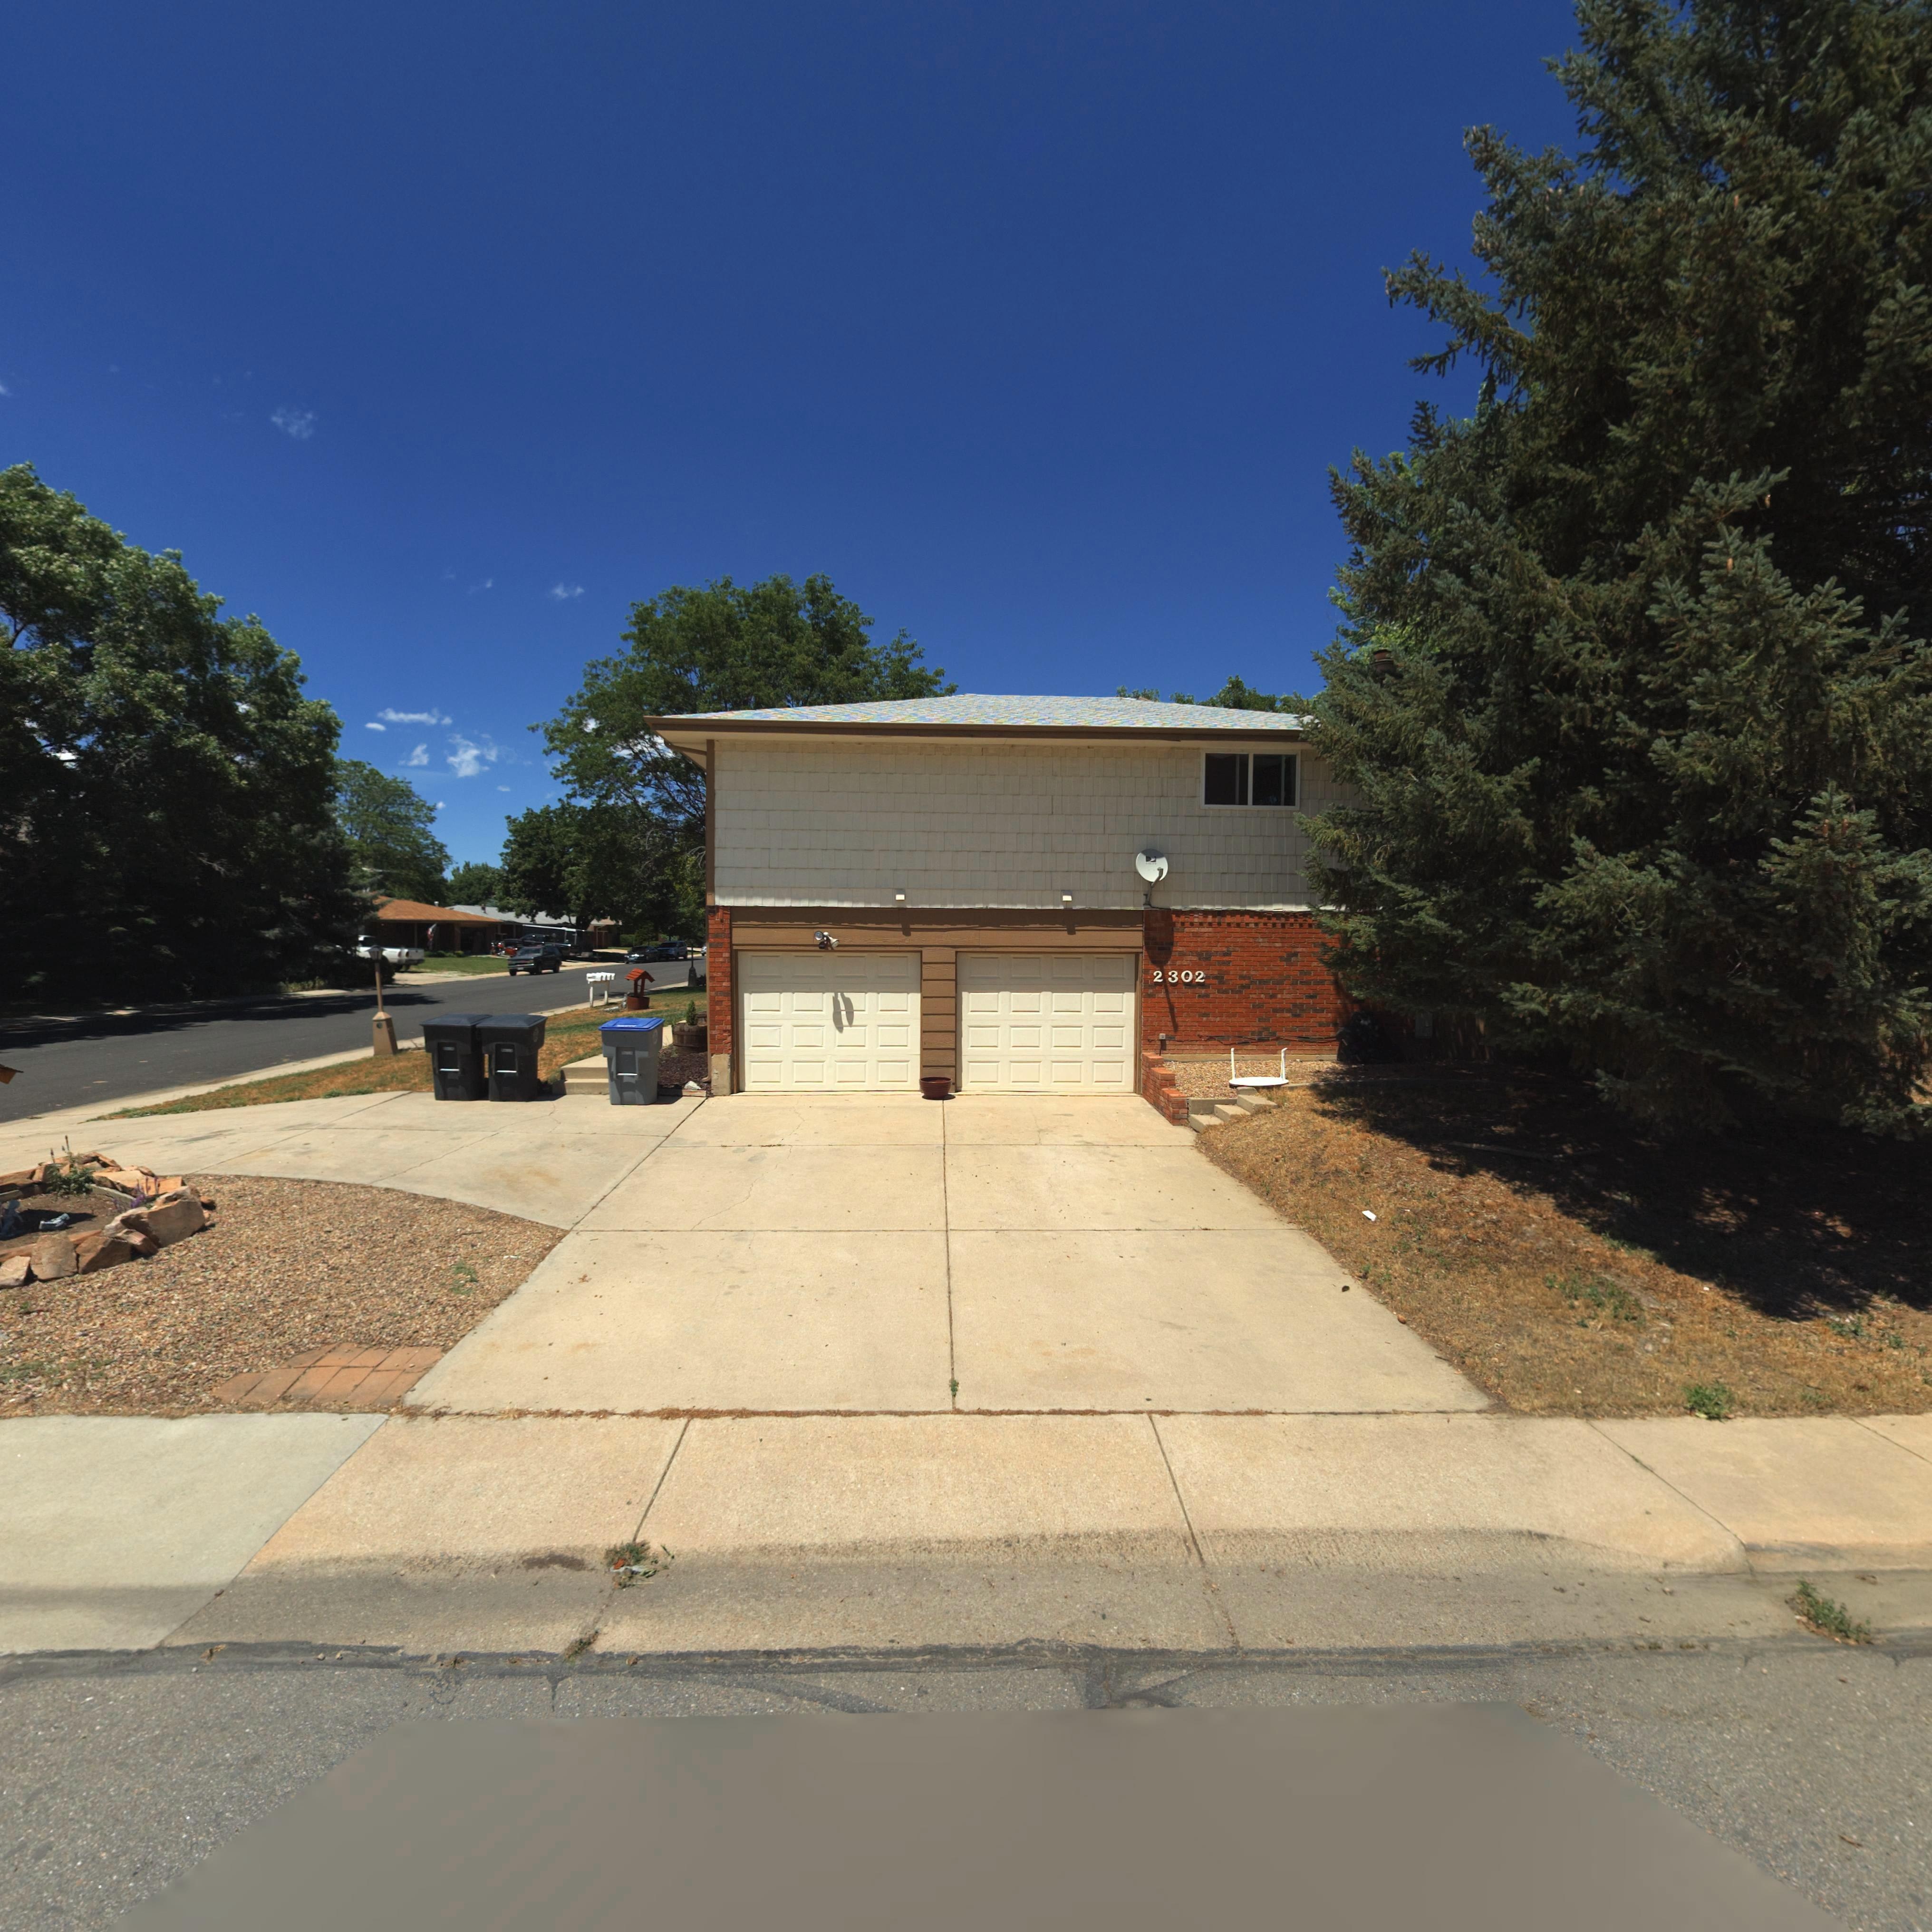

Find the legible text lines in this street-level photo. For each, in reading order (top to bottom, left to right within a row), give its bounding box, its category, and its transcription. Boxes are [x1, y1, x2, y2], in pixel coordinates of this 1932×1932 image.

[1152, 970, 1205, 982] StreetNumber: 2302